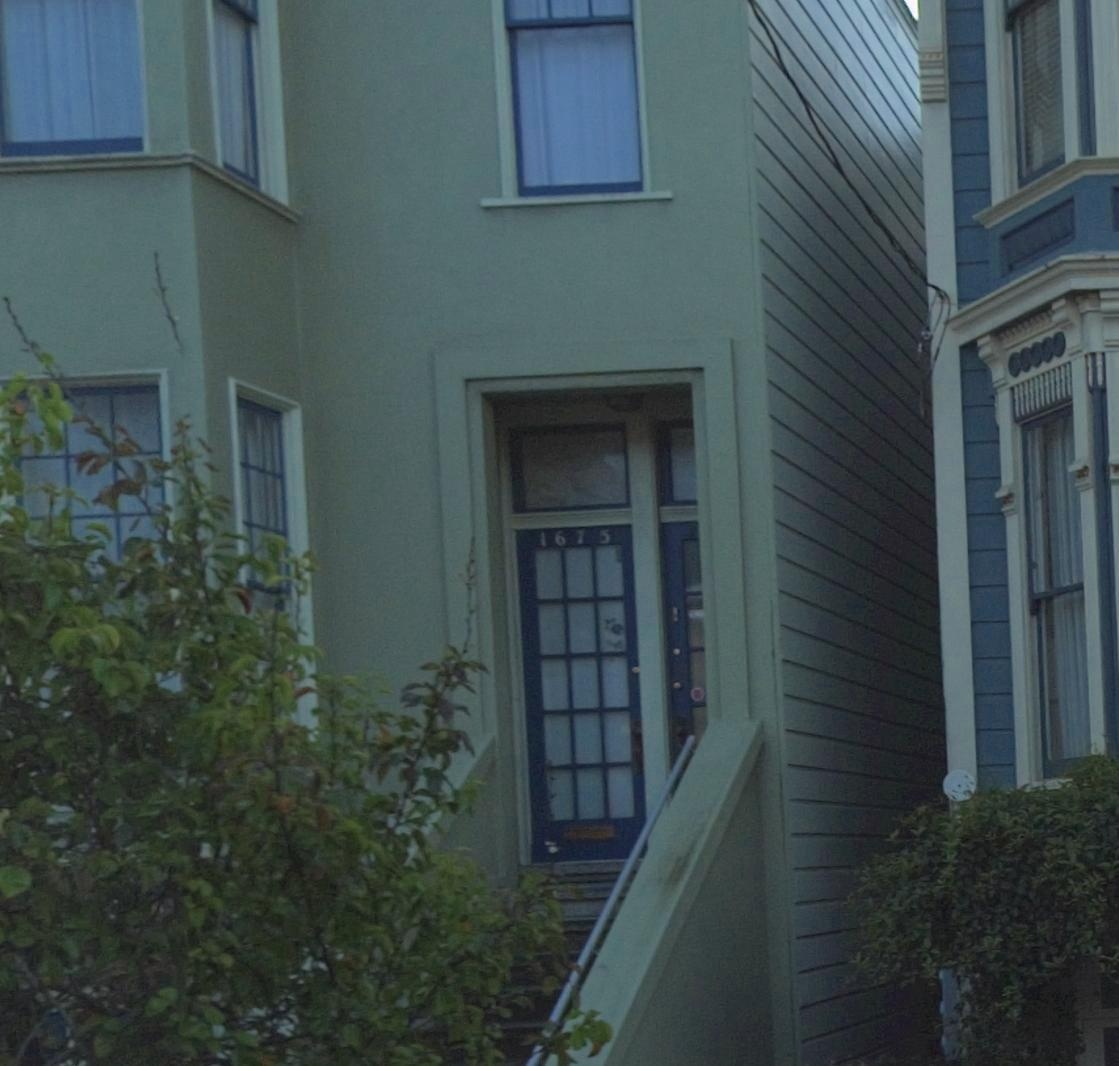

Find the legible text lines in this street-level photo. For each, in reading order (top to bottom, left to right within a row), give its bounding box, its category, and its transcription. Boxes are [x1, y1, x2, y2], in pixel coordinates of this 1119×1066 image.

[538, 526, 613, 550] StreetNumber: 1675